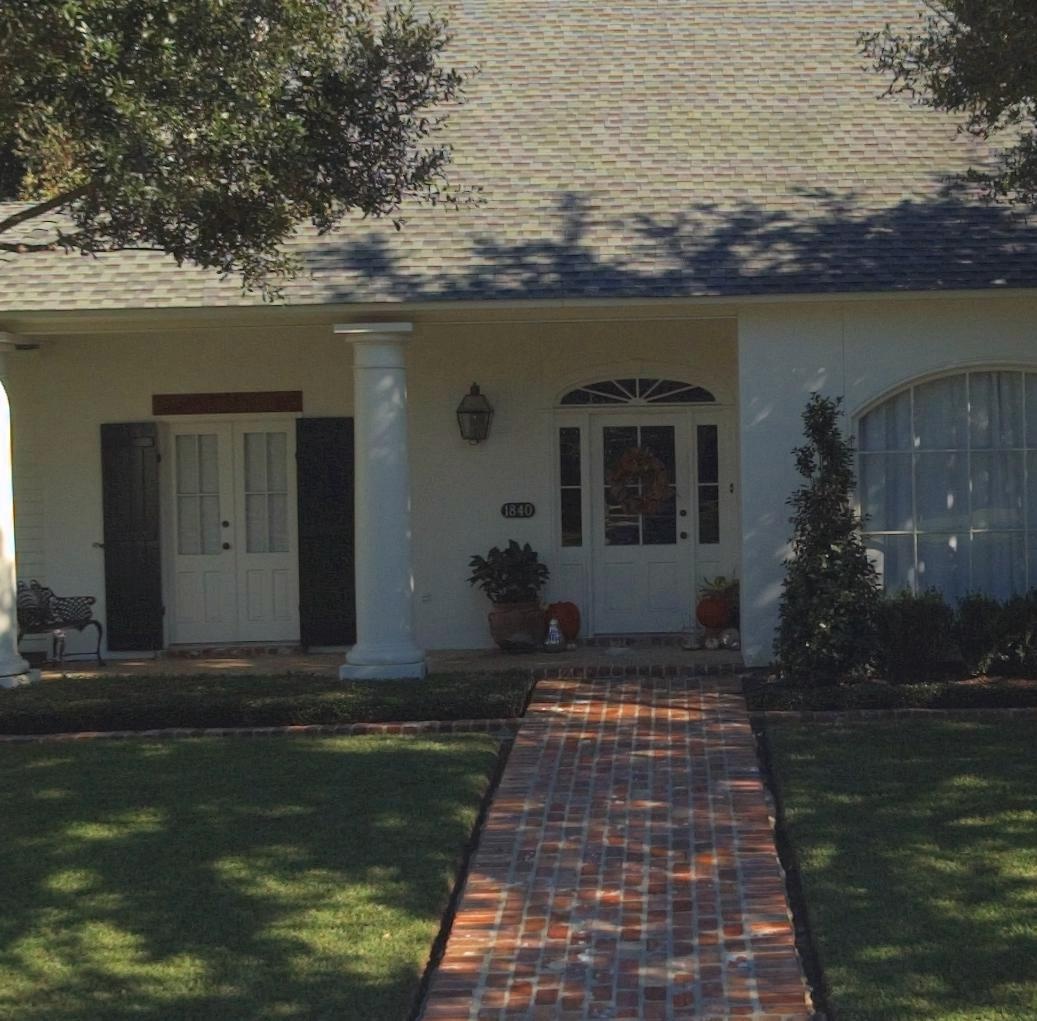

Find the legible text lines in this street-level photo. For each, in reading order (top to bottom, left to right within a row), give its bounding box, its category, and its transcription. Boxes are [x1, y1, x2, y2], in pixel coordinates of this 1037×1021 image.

[503, 502, 535, 519] StreetNumber: 1840